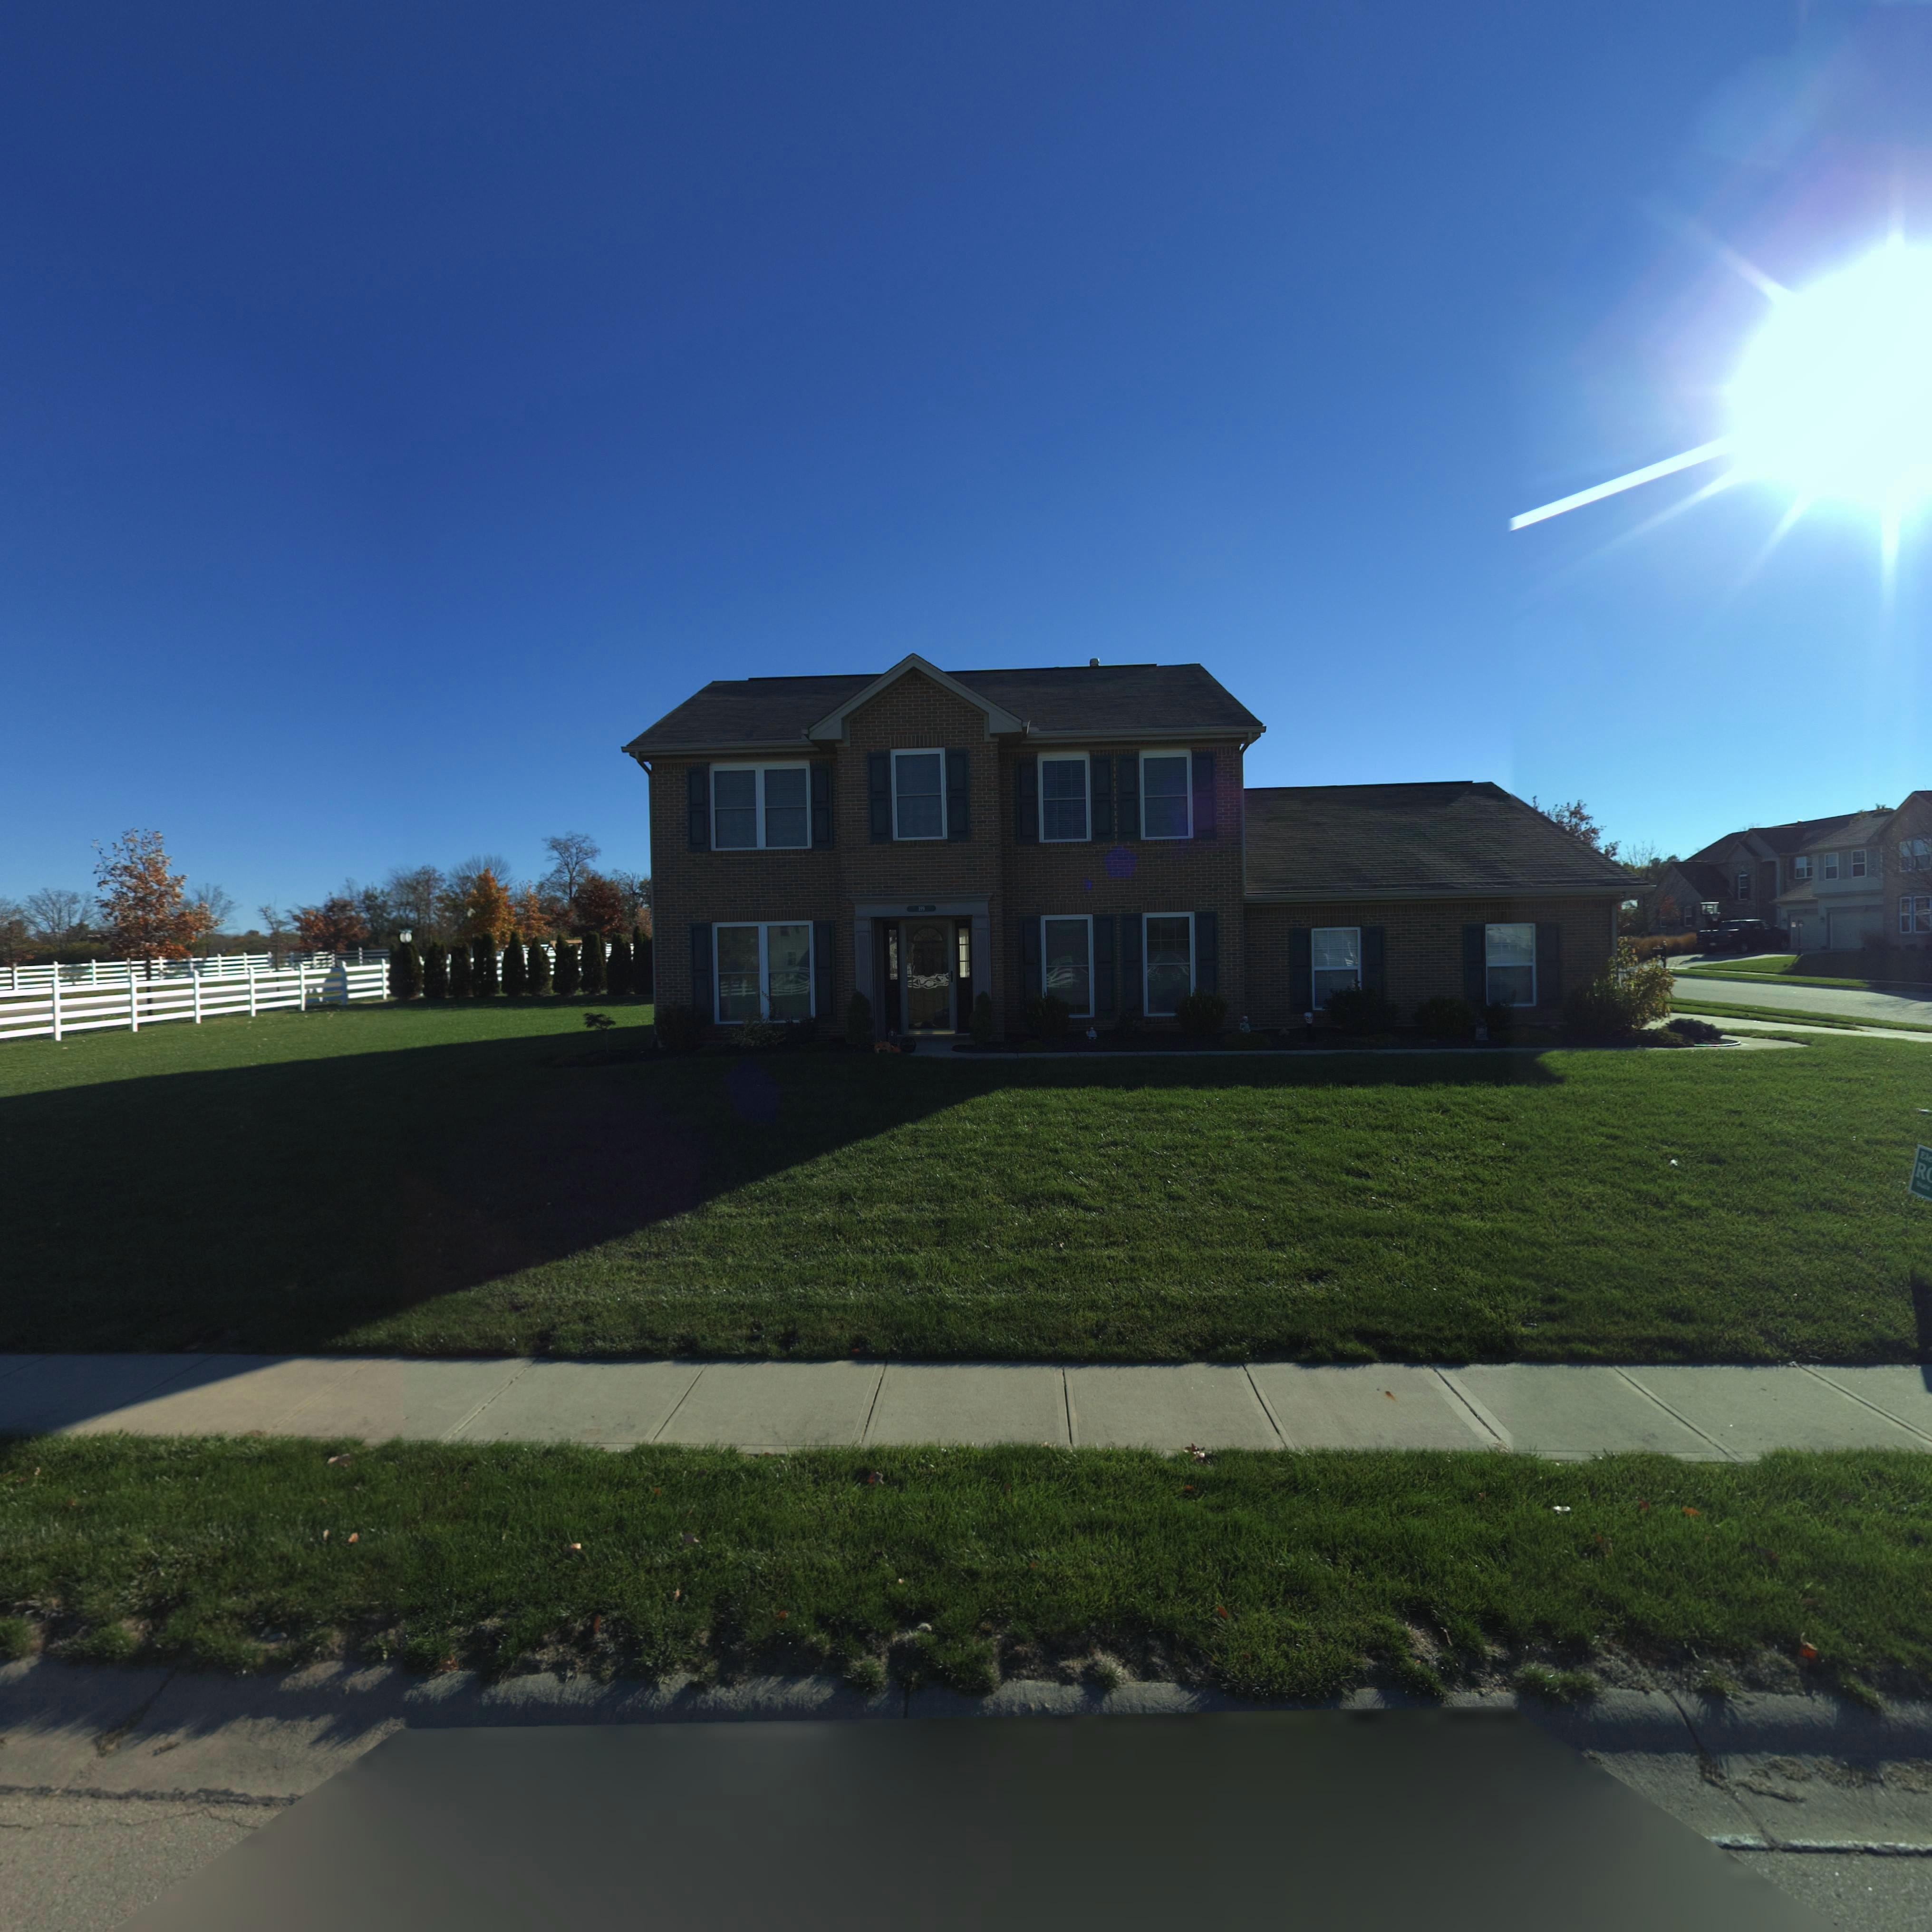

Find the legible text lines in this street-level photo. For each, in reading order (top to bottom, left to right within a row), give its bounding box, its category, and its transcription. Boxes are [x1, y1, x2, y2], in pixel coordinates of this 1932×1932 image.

[918, 905, 926, 912] StreetNumber: 199